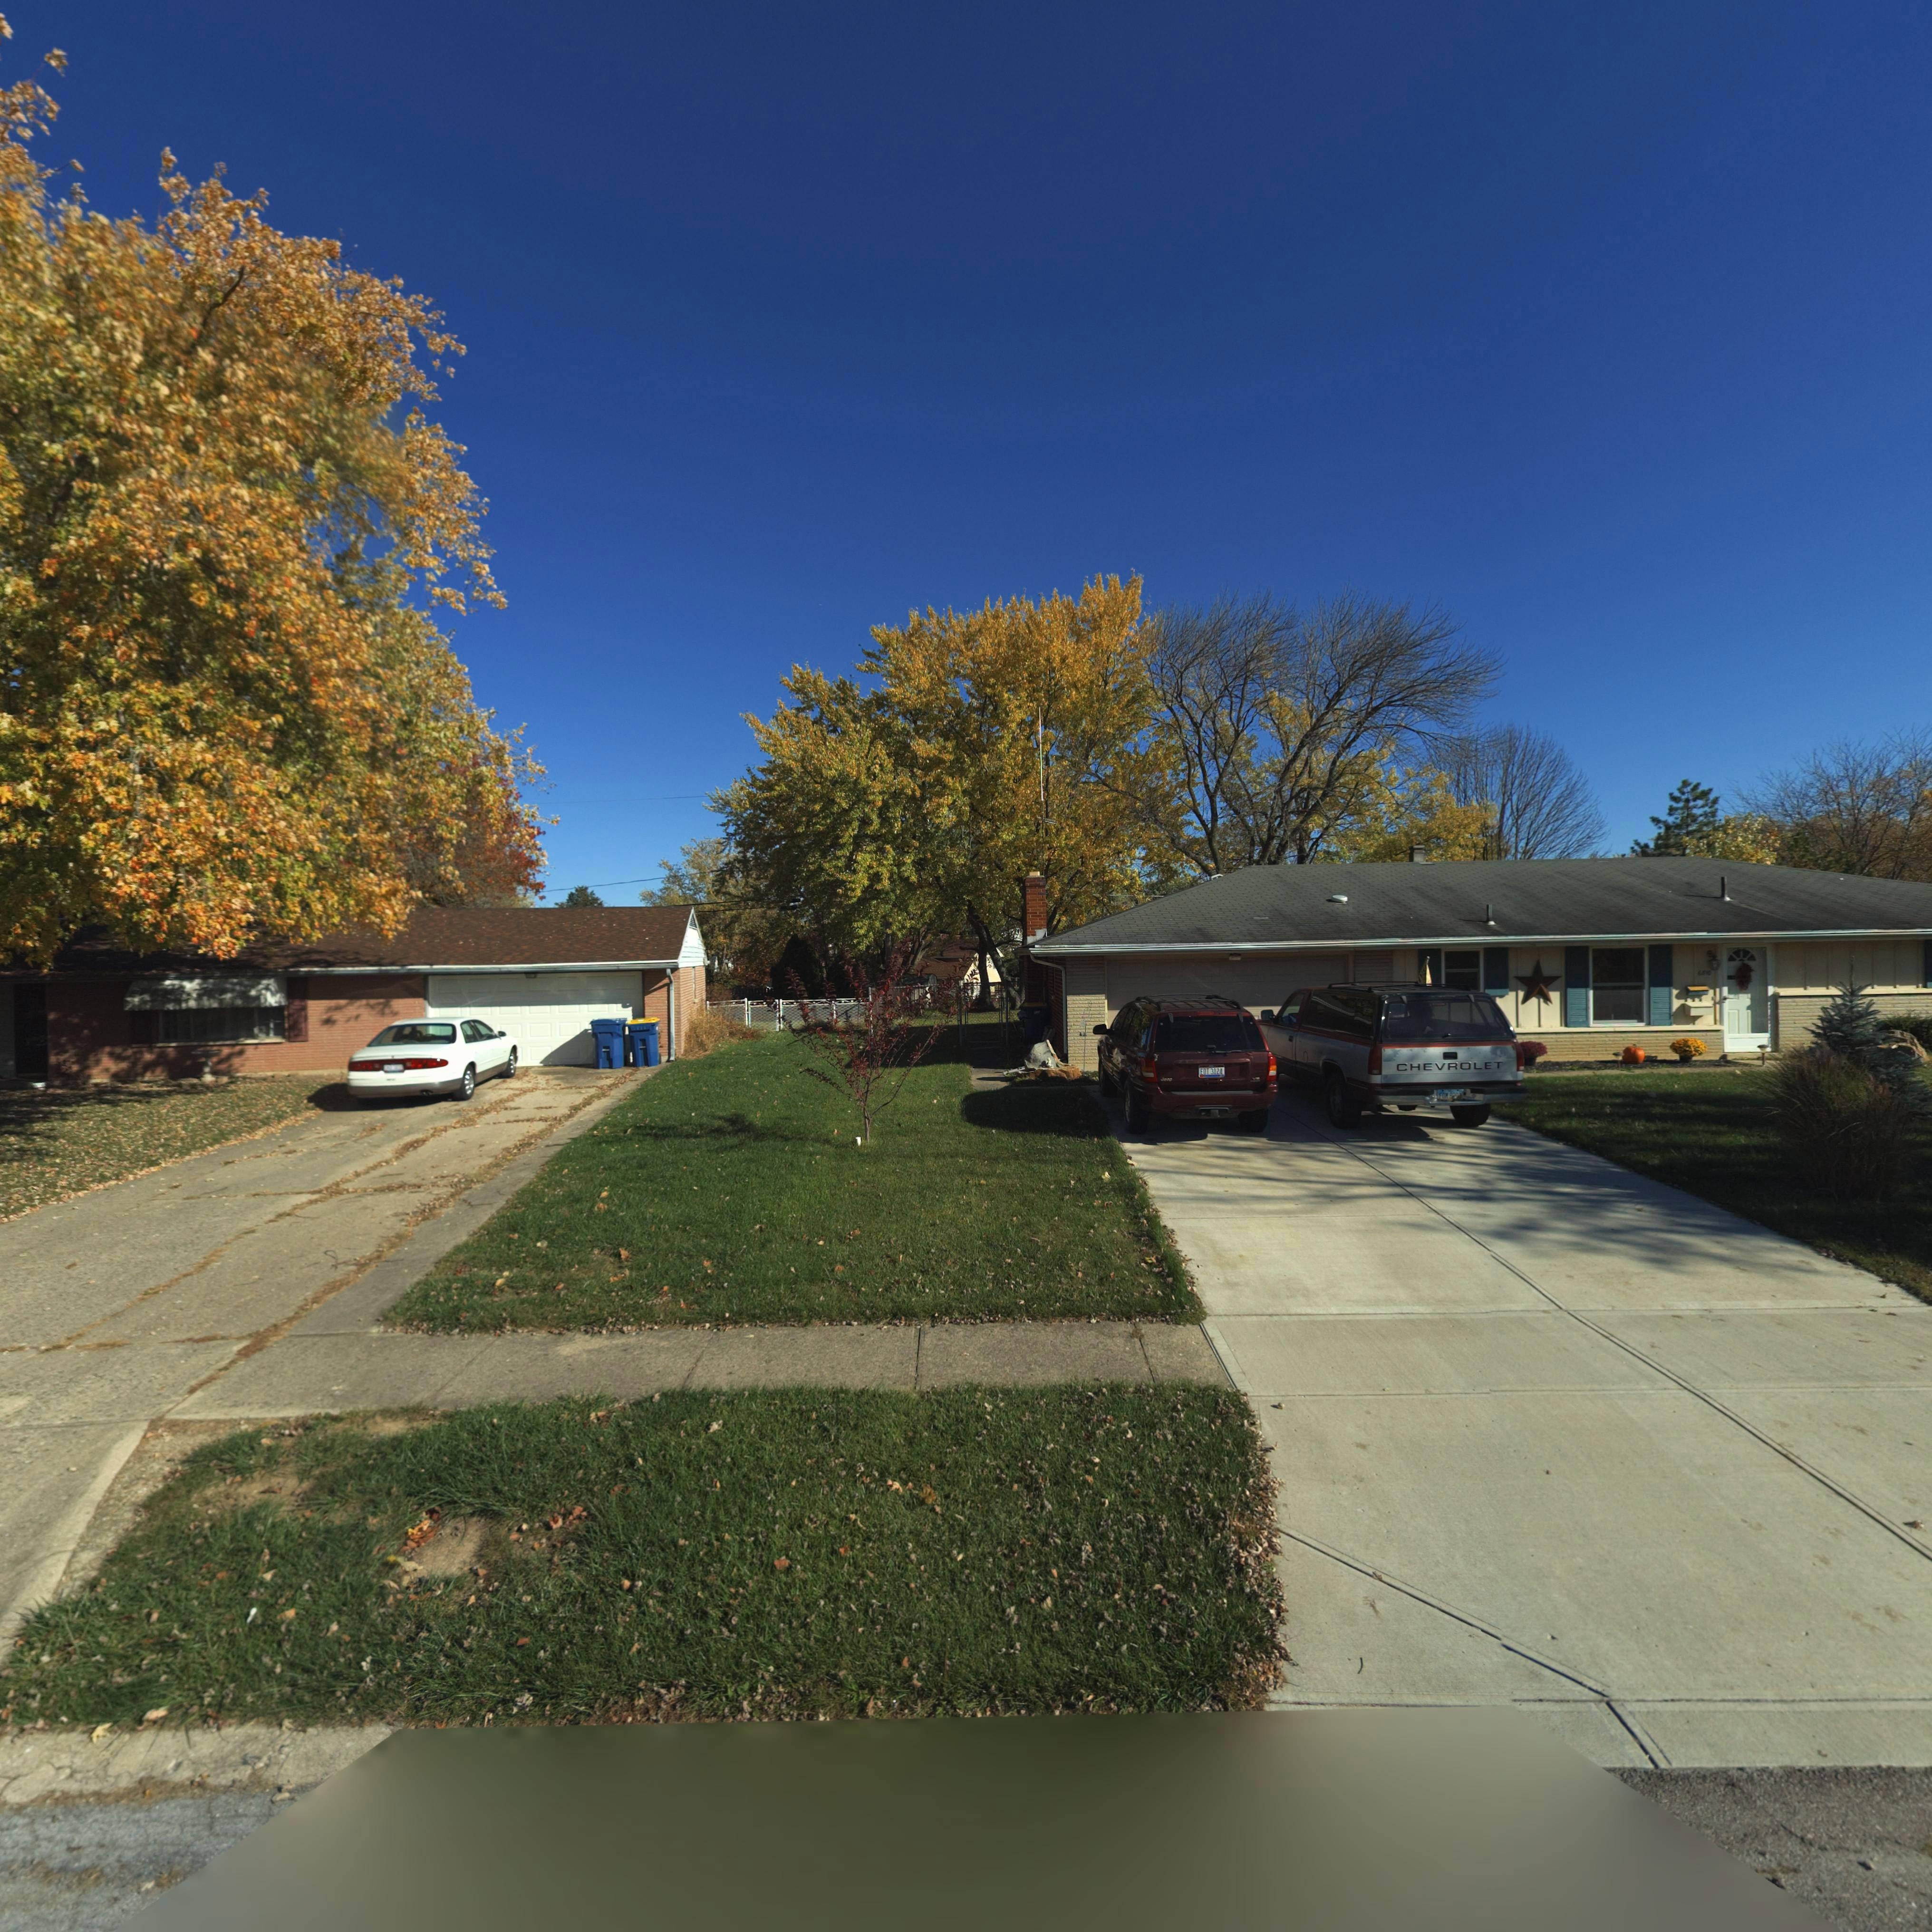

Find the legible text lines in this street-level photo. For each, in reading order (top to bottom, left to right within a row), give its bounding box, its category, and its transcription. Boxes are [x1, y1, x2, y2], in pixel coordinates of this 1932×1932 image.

[1697, 969, 1712, 976] StreetNumber: 6810